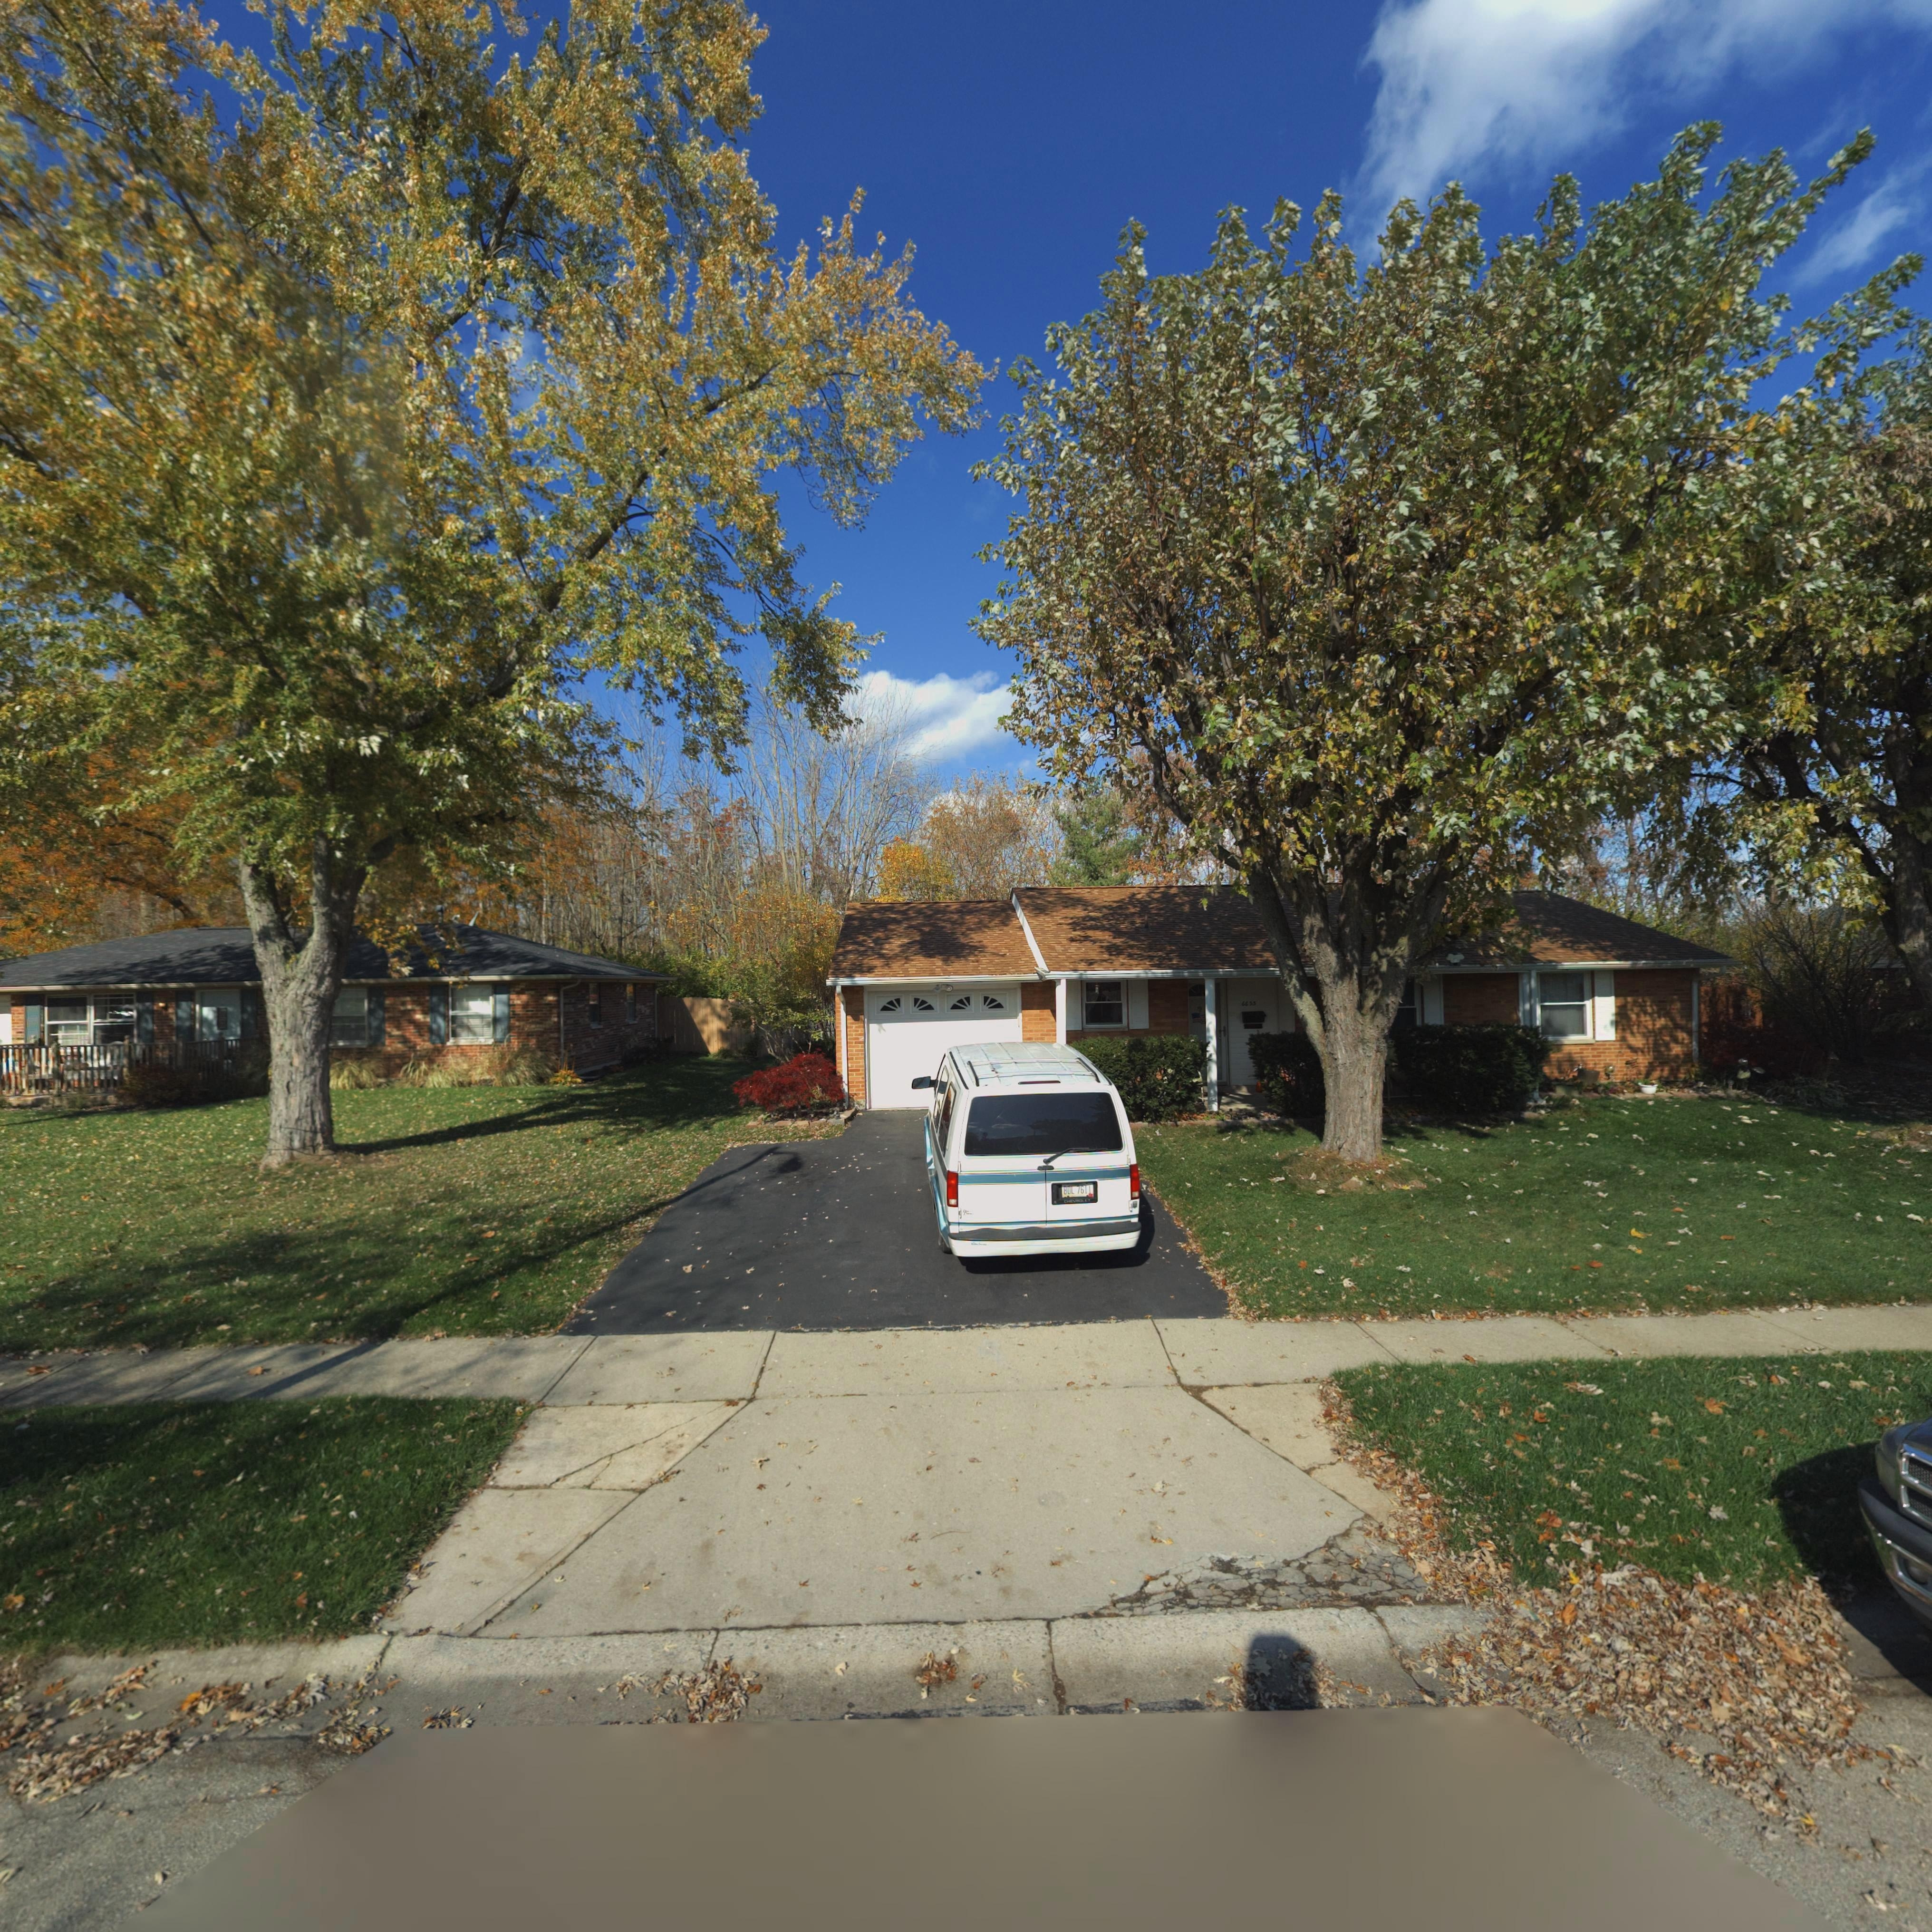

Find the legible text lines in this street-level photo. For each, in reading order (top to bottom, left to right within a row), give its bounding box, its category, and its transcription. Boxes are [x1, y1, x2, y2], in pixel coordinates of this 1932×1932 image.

[1240, 1000, 1256, 1006] StreetNumber: 6655